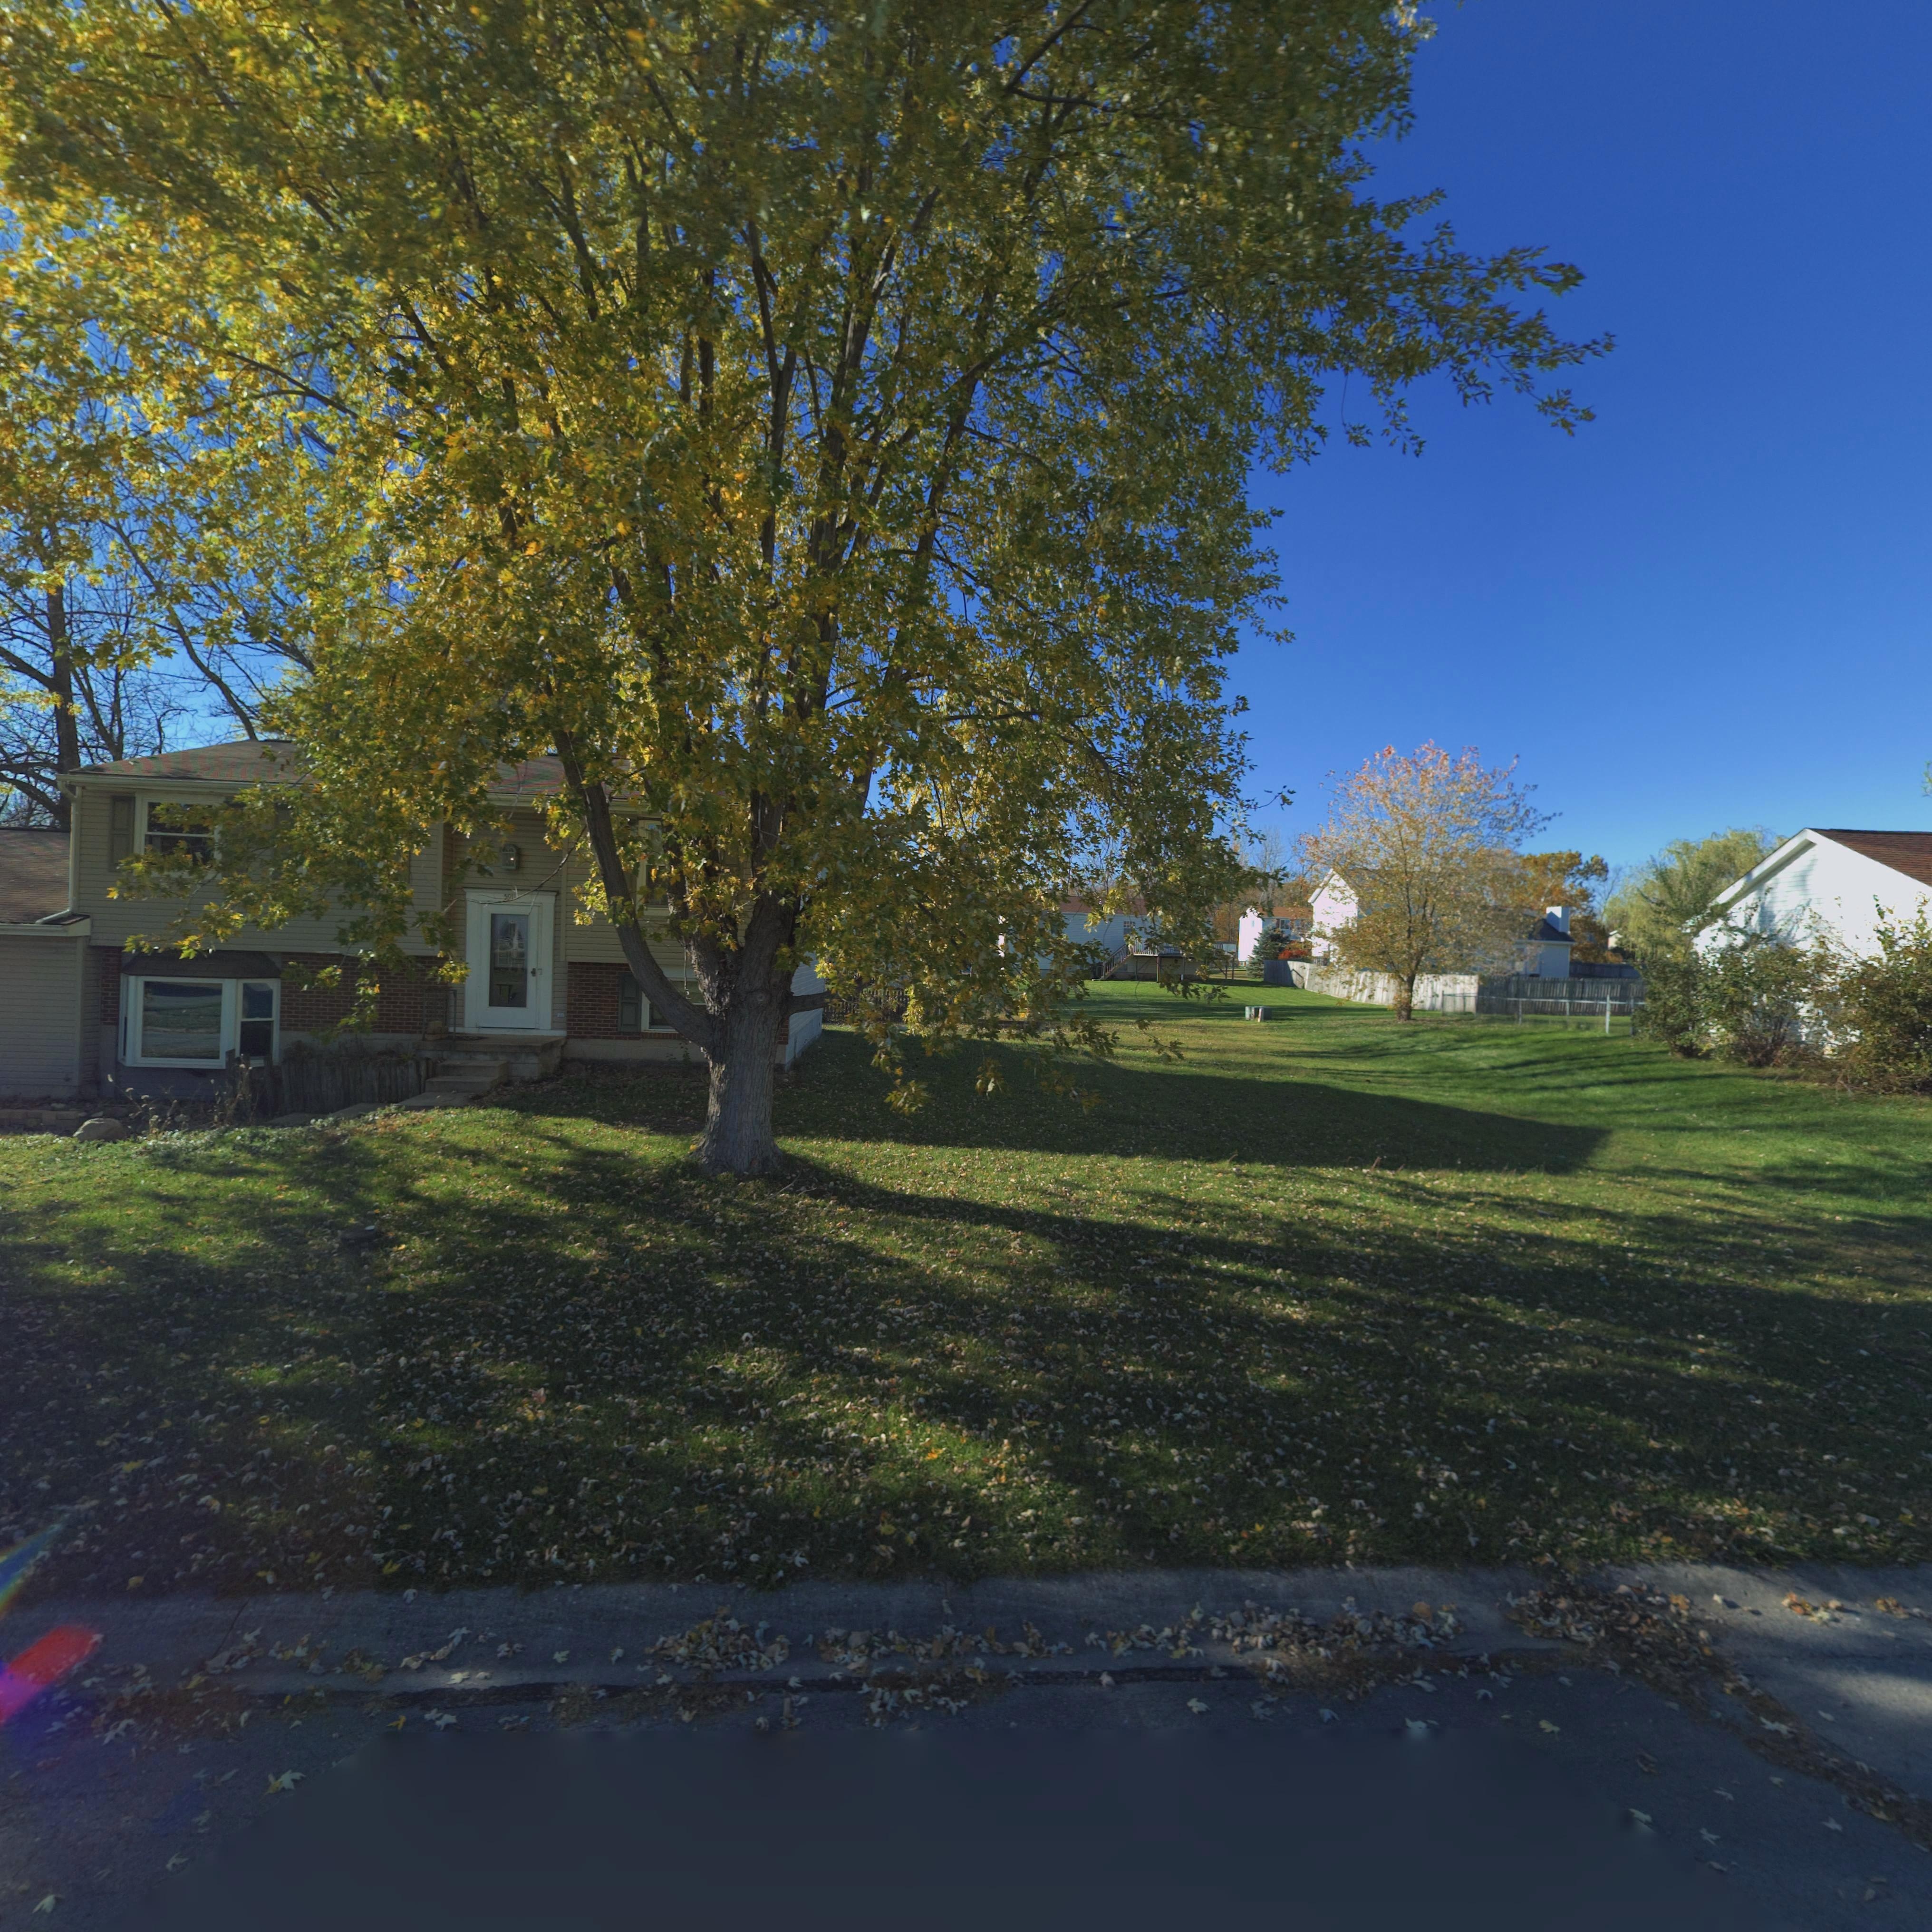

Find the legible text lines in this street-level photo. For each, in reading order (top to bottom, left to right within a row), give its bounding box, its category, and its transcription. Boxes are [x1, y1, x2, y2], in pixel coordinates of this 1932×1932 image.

[503, 893, 509, 901] StreetNumber: 5